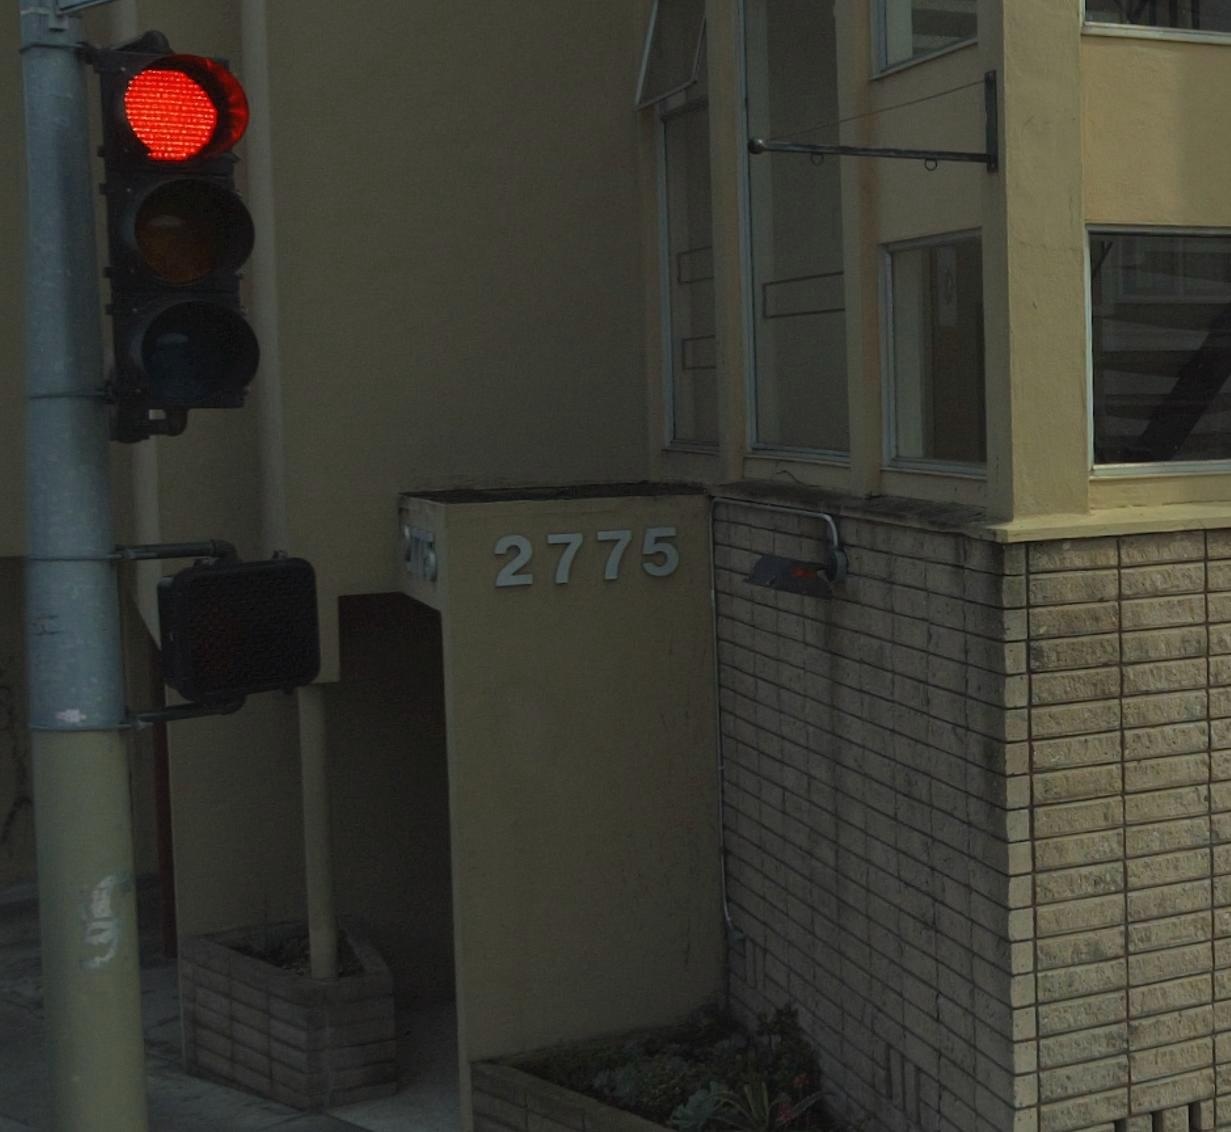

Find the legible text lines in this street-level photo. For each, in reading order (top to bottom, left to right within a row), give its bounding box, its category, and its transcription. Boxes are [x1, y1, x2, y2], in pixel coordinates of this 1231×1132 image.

[493, 525, 683, 590] StreetNumber: 2775